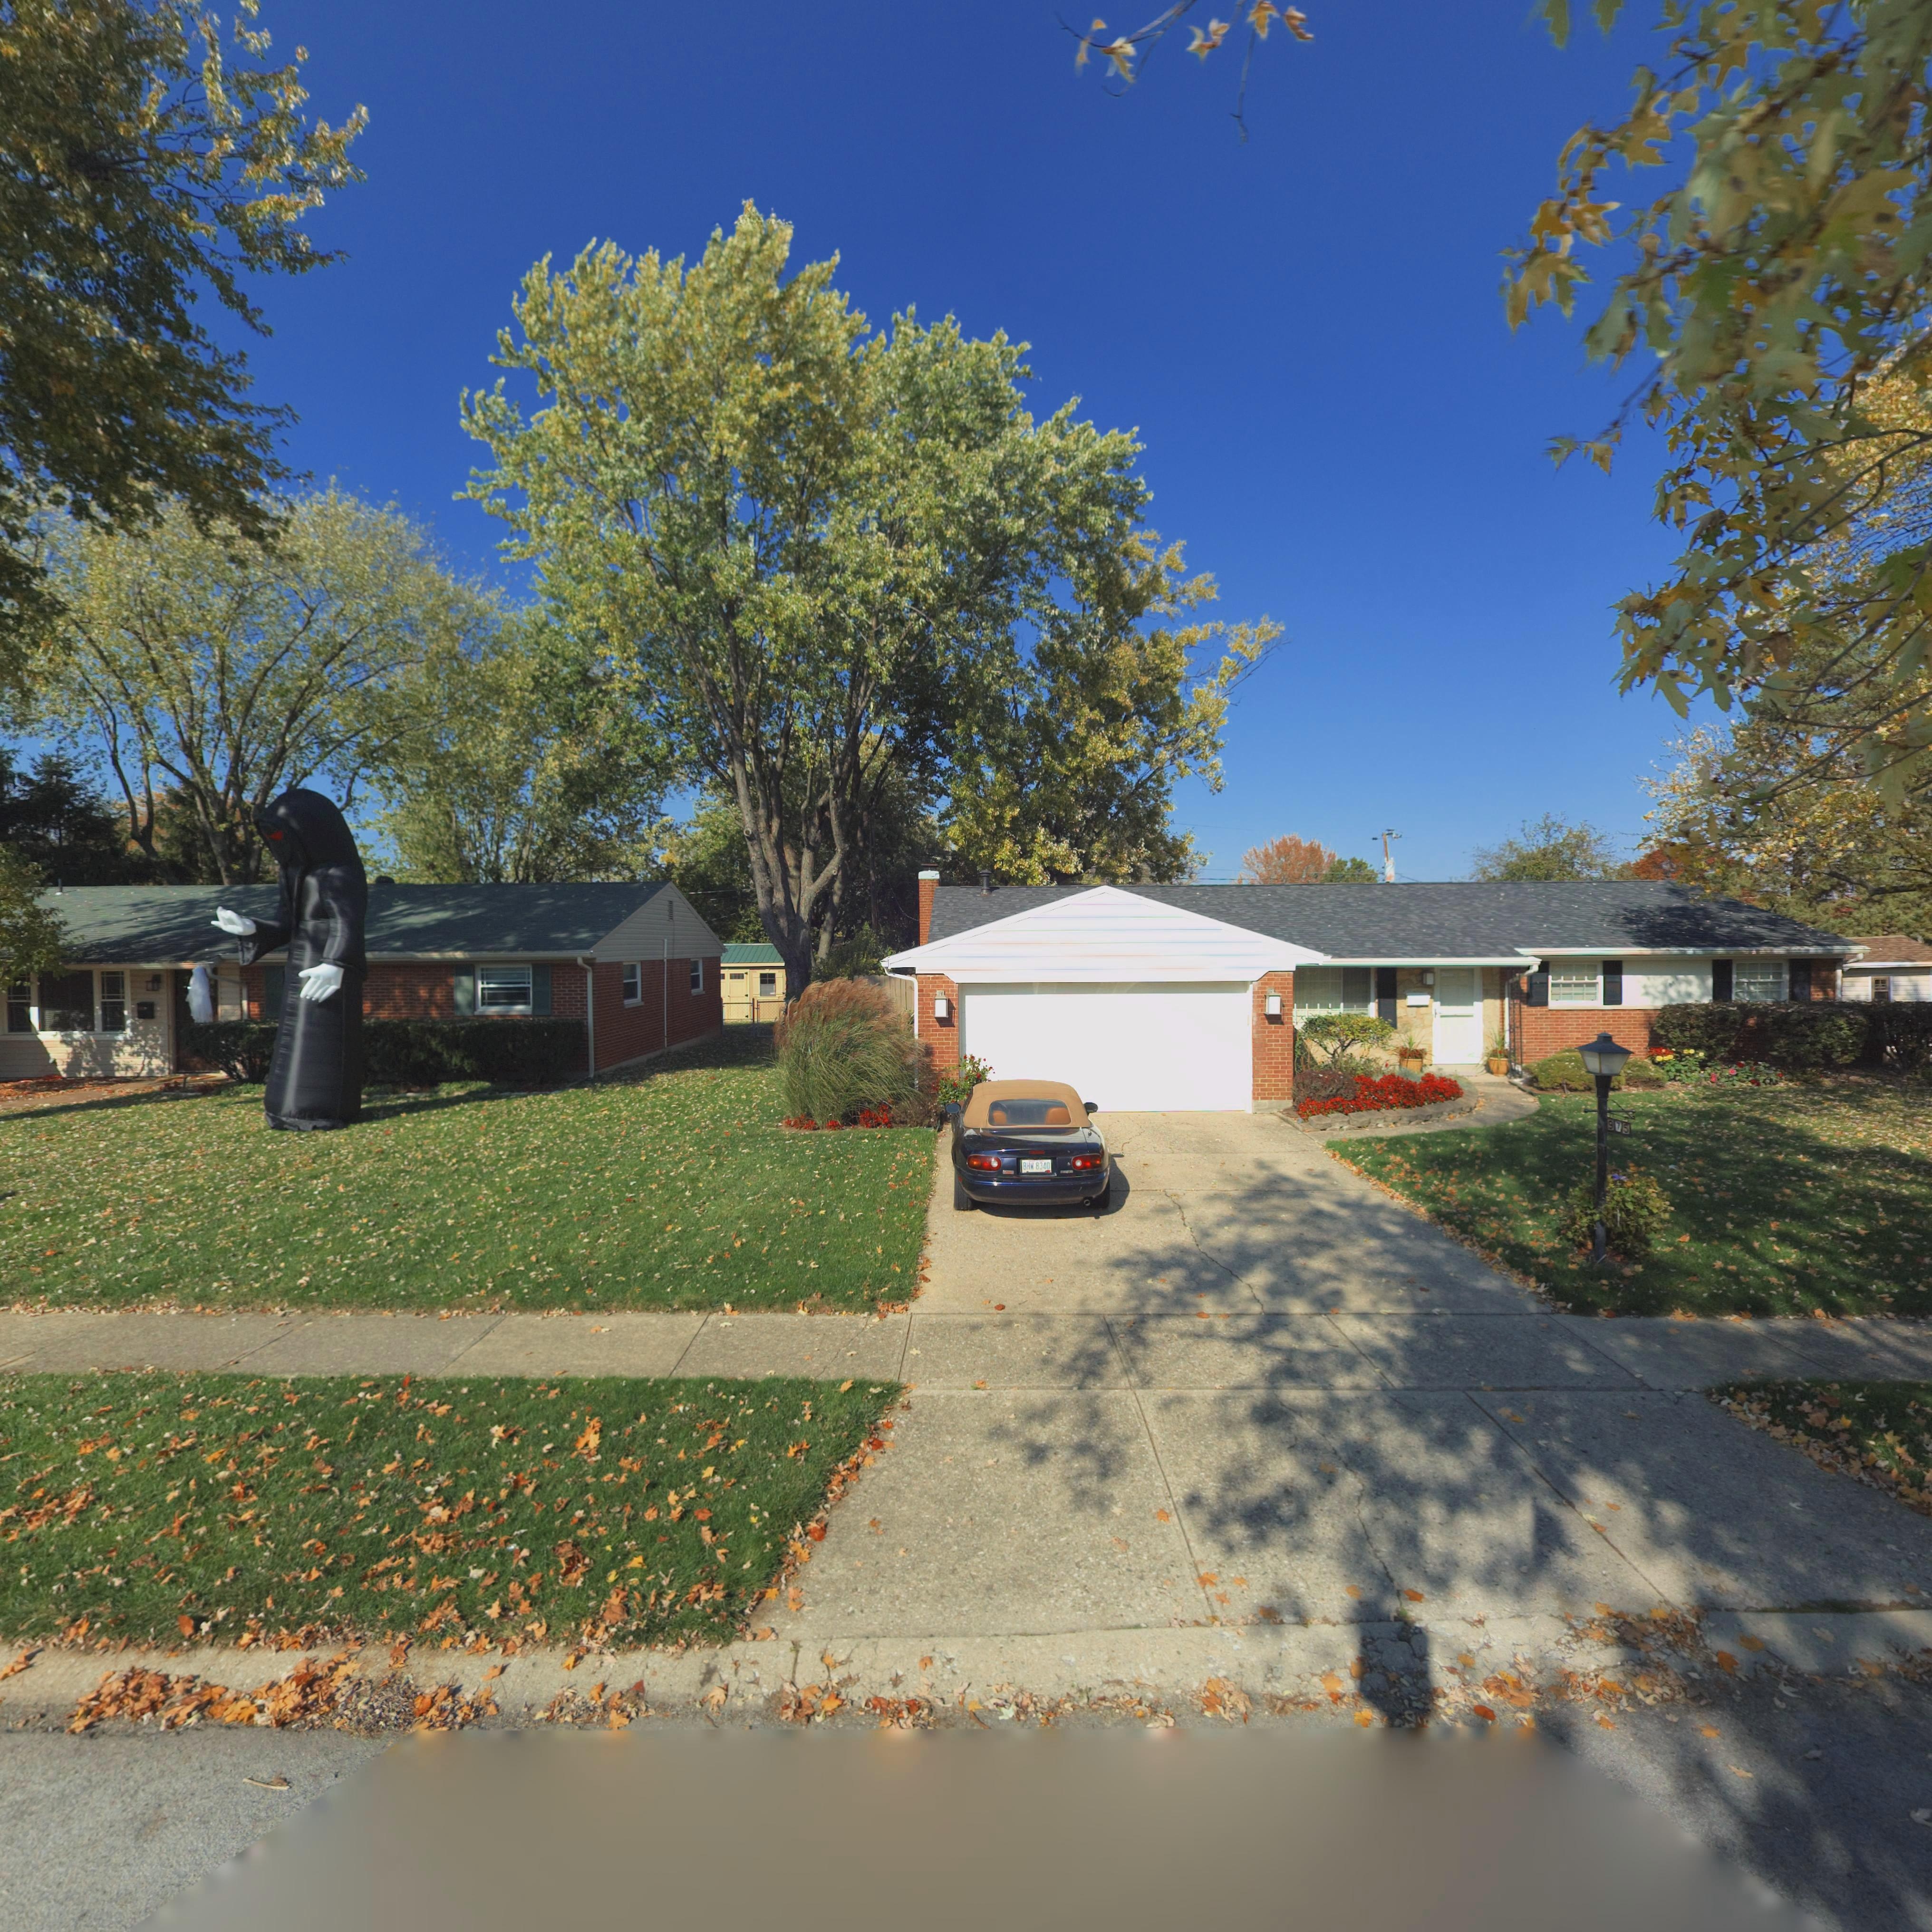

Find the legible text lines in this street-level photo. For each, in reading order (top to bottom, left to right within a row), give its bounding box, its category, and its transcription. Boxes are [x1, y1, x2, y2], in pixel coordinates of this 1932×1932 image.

[1022, 1160, 1051, 1171] None: BHW 8340